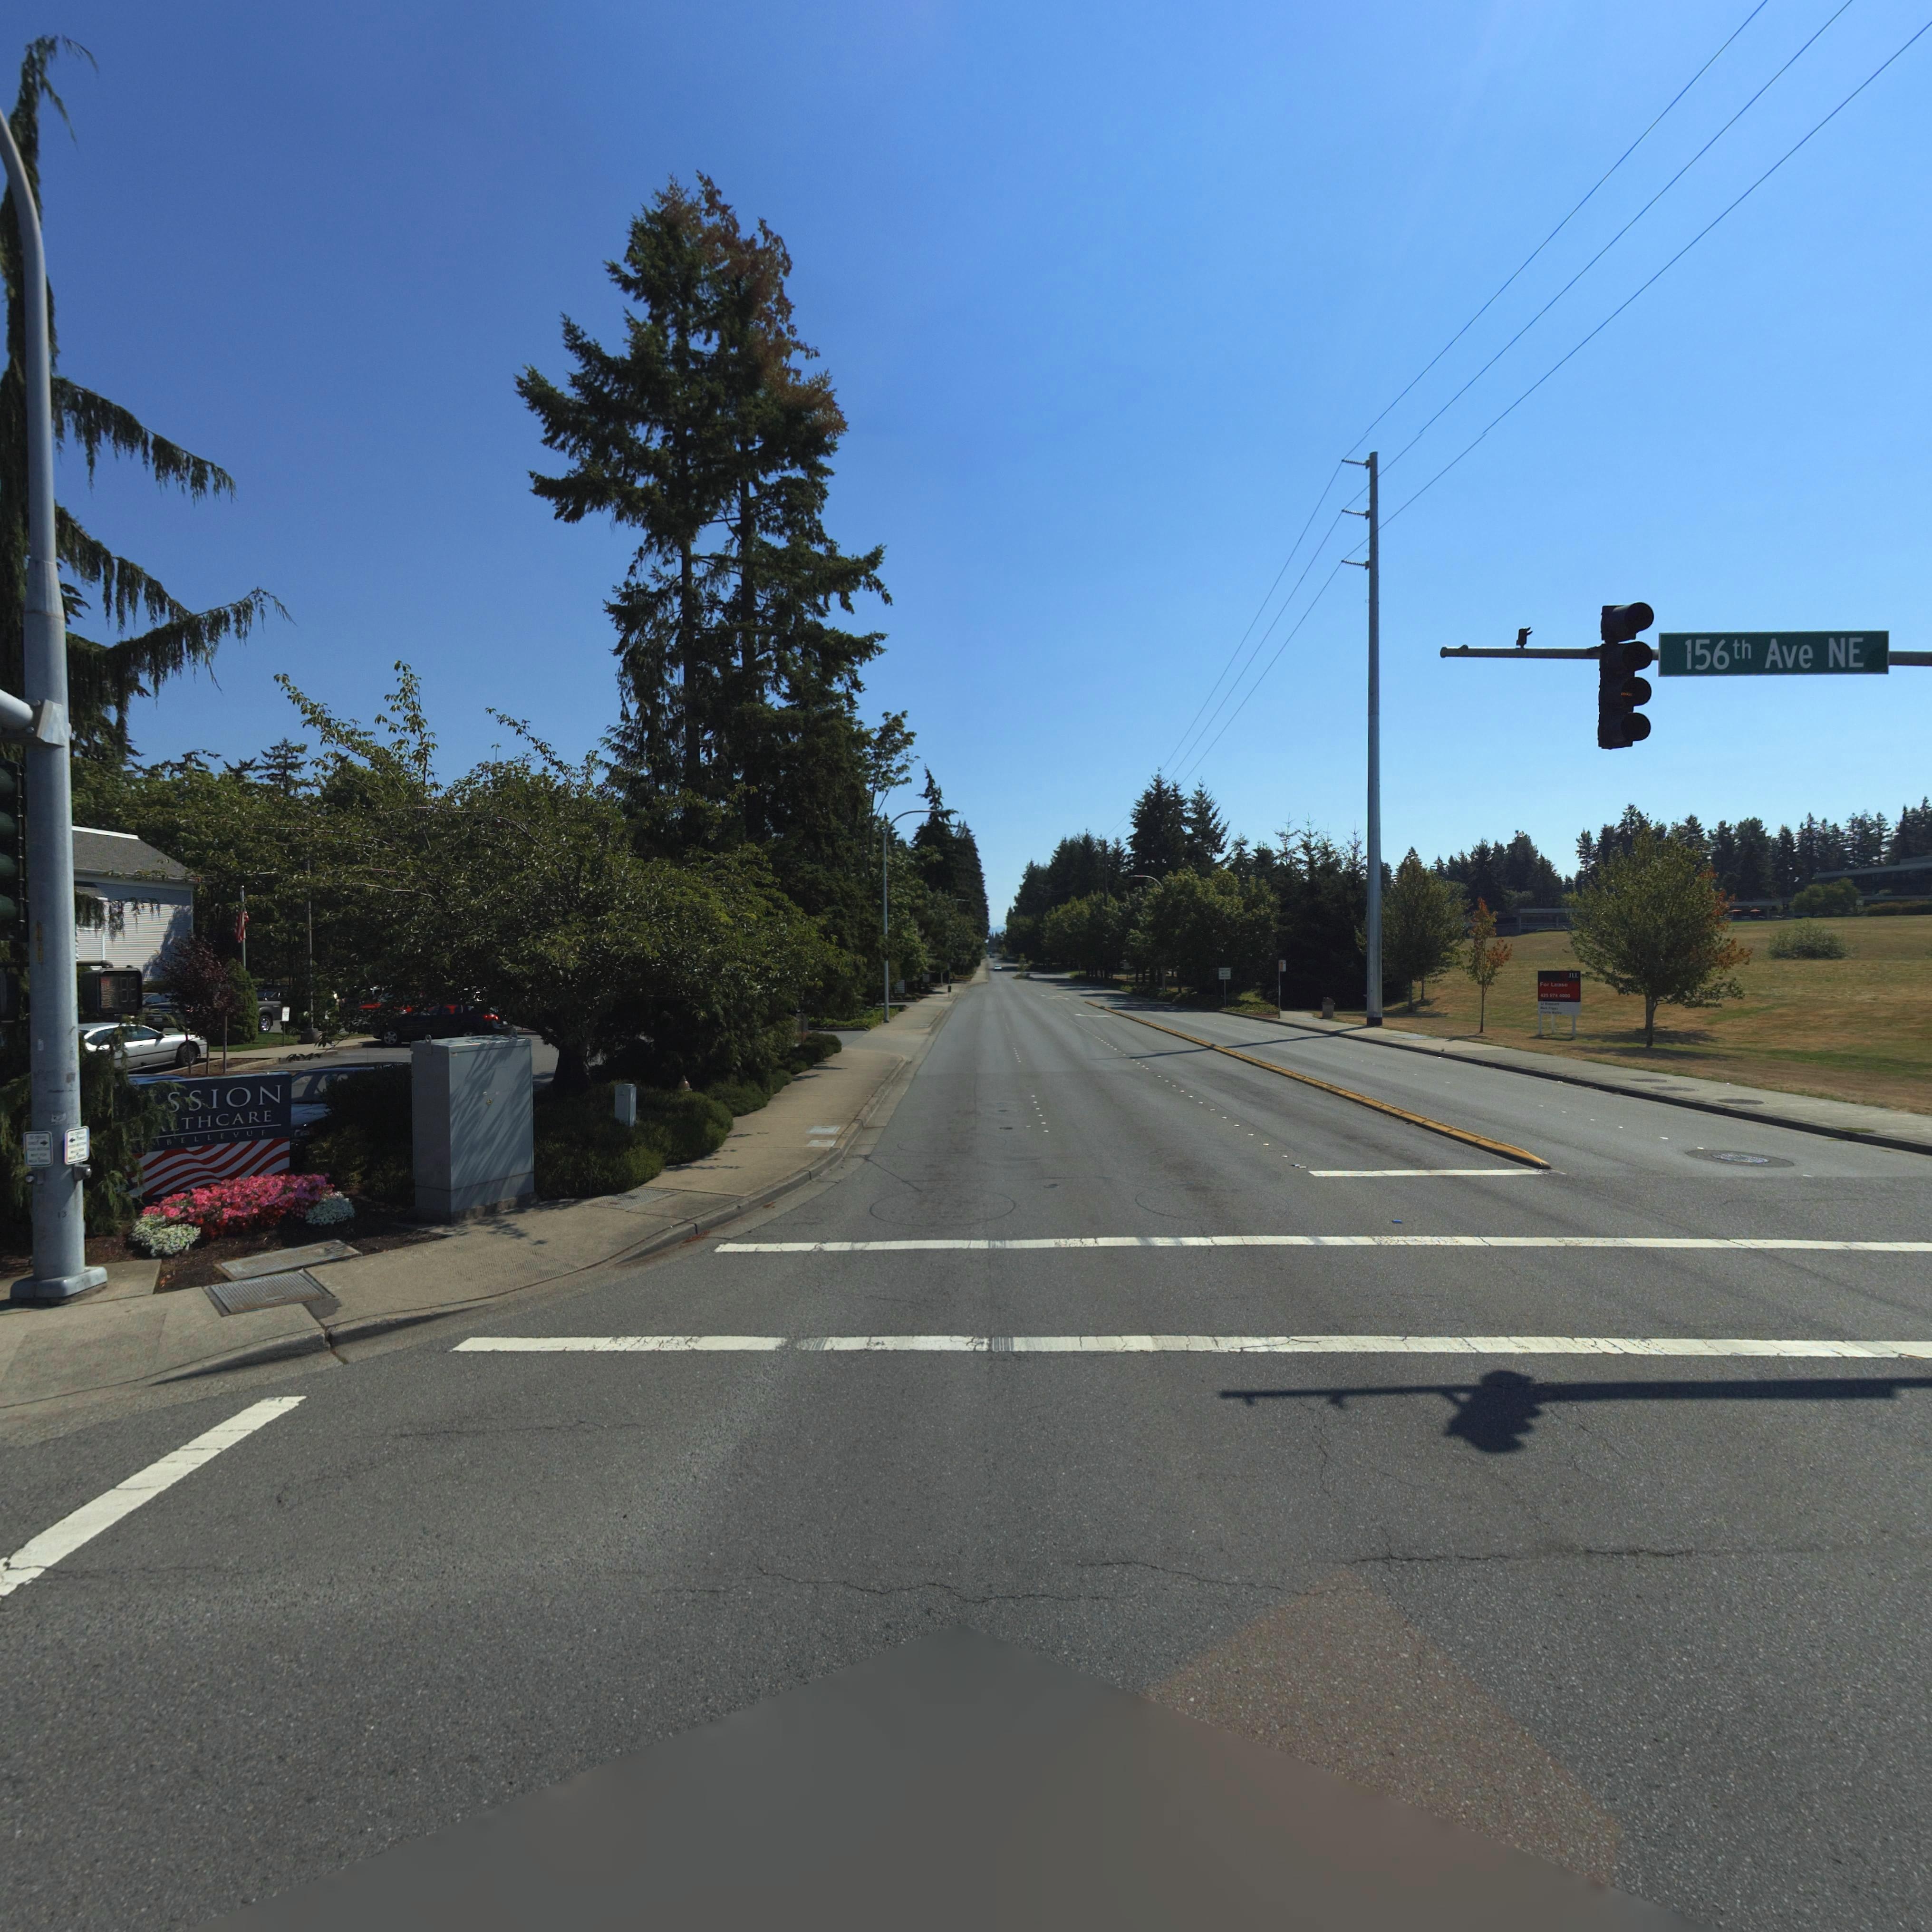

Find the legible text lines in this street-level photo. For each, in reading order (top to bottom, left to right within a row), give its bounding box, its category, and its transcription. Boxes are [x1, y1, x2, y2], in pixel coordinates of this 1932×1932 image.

[1685, 637, 1865, 669] StreetName: 156th Ave NE
[187, 1083, 282, 1111] BusinessName: SION
[181, 1110, 272, 1130] BusinessName: THCARE